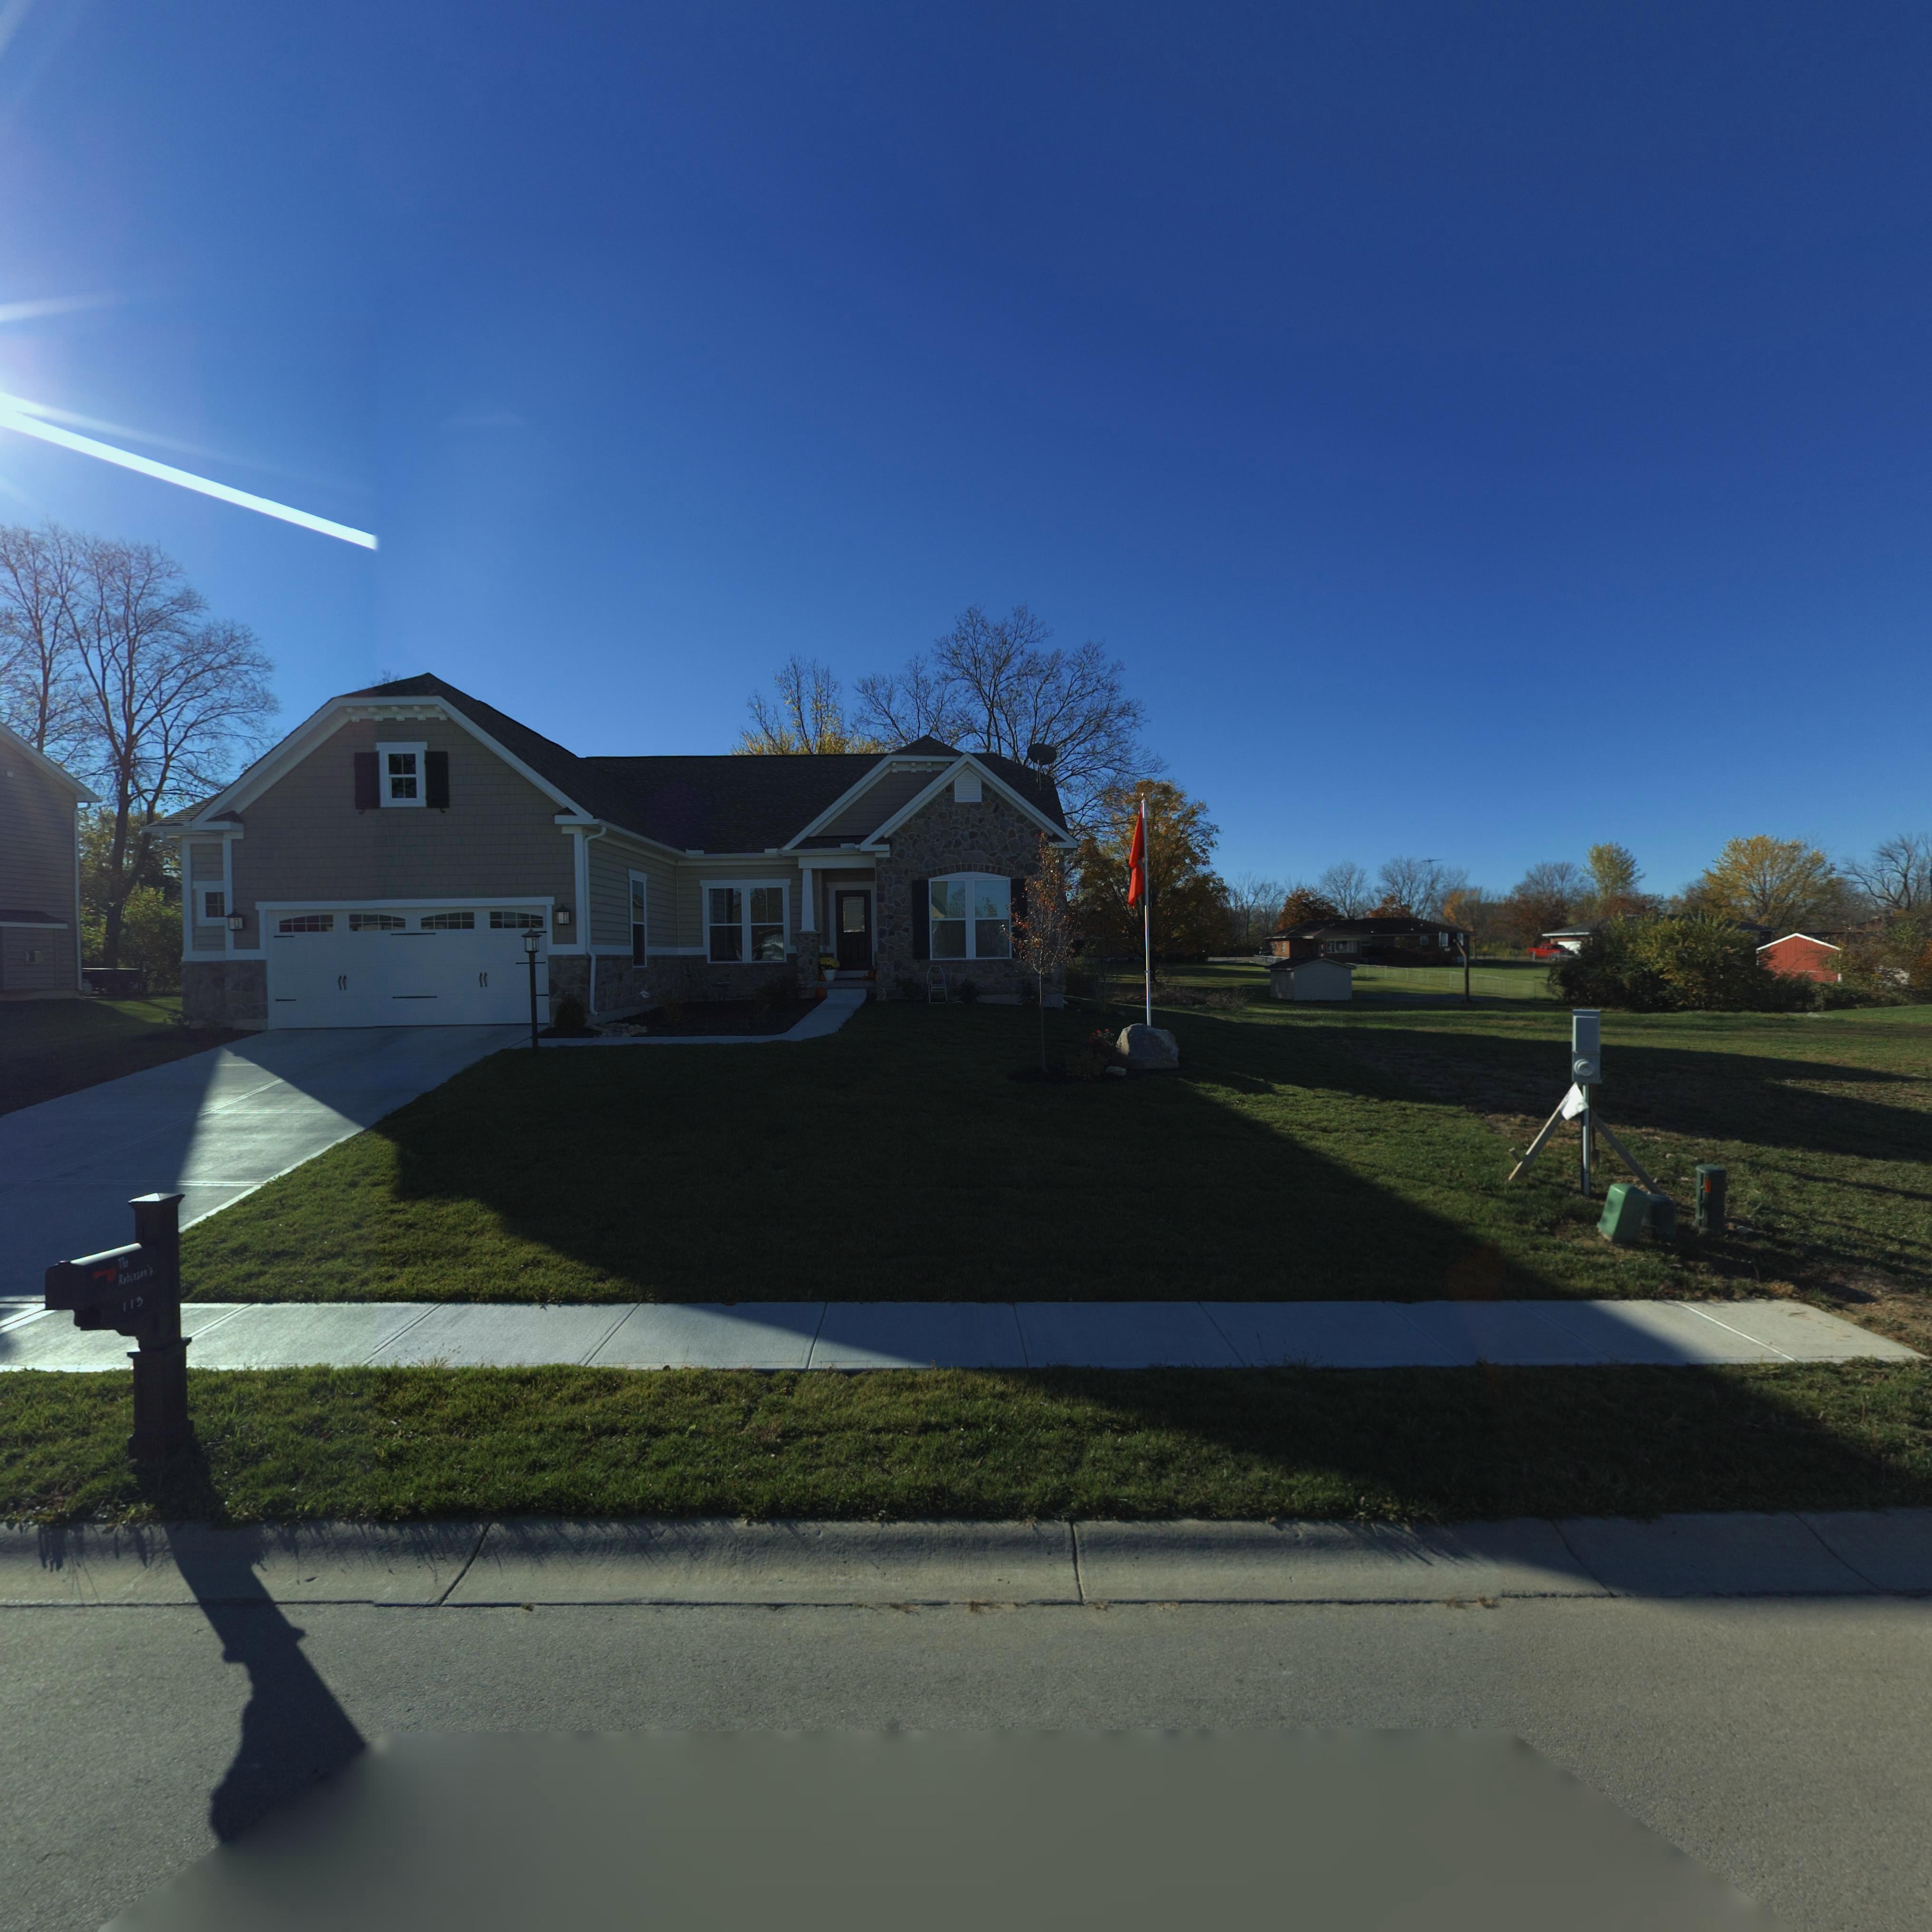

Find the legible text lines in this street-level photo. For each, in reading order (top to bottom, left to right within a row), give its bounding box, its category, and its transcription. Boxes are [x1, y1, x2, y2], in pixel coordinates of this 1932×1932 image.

[122, 1294, 145, 1314] StreetNumber: 113